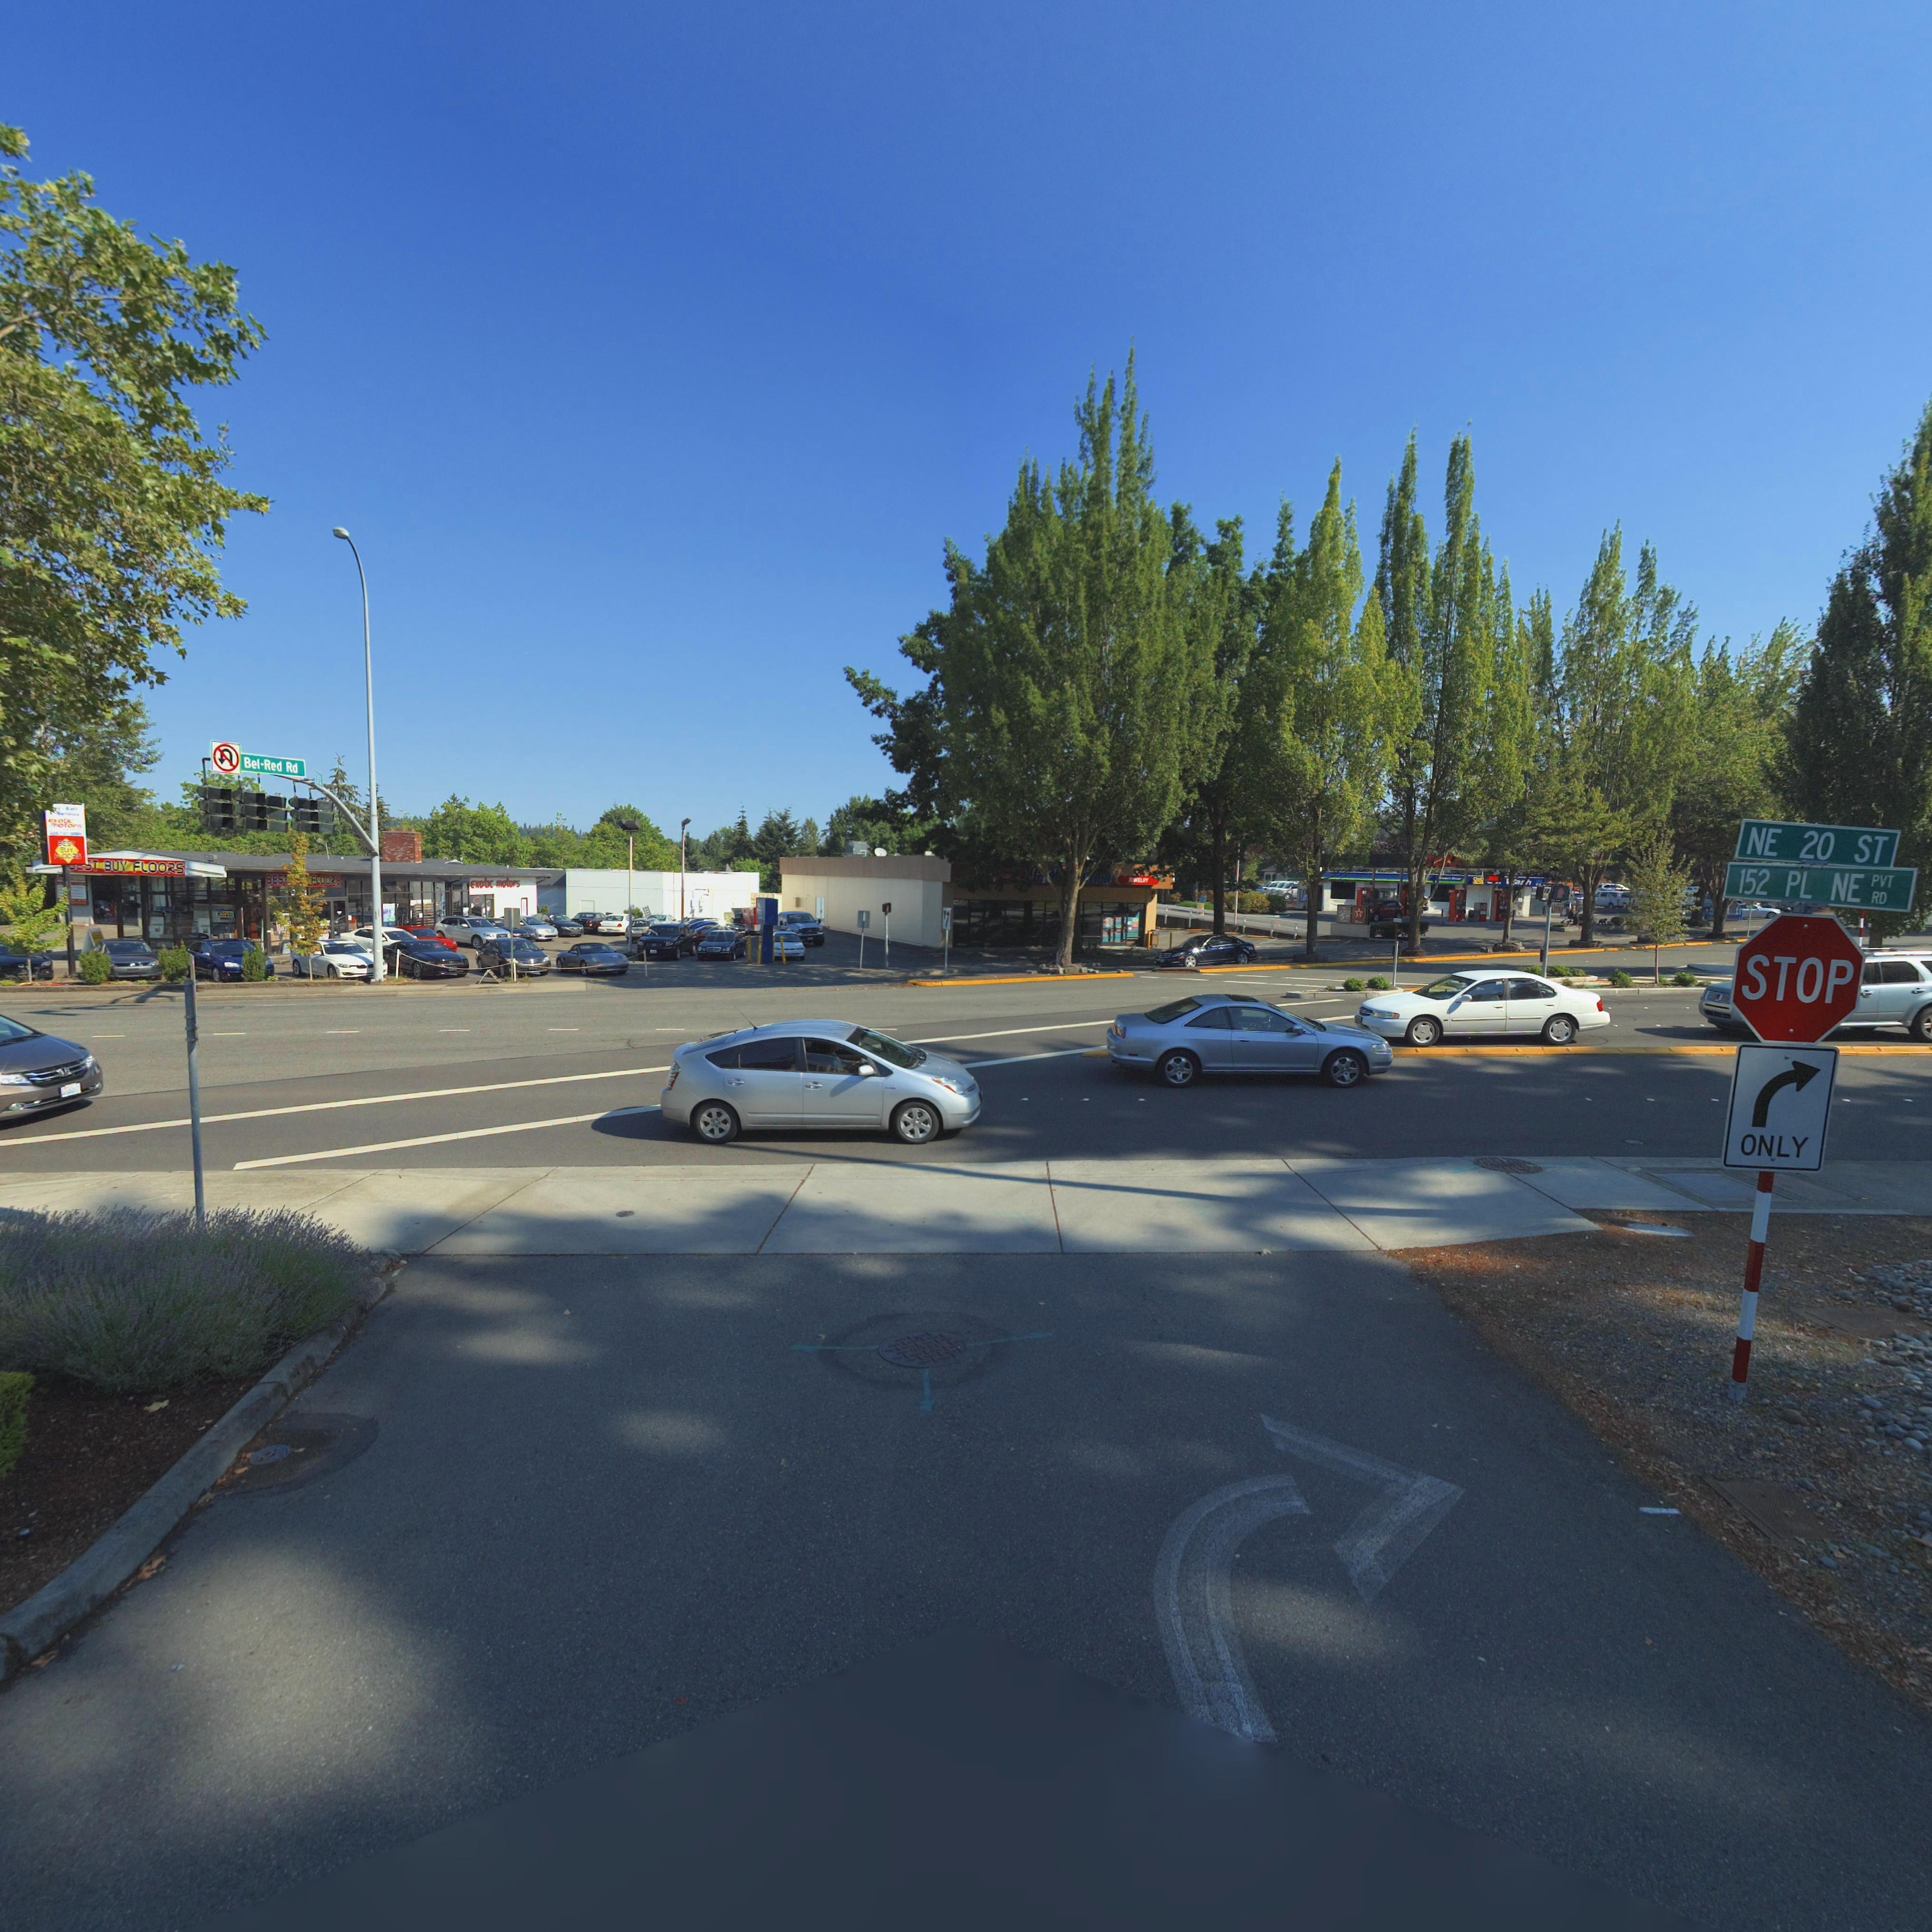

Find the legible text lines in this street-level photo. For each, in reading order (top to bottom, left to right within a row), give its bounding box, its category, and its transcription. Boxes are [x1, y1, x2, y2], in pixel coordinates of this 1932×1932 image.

[243, 756, 298, 773] StreetName: Bel-Red Rd
[1747, 827, 1888, 863] StreetName: NE 20 ST
[92, 860, 184, 873] BusinessName: T BUY FLOORS
[266, 874, 283, 884] BusinessName: BES
[311, 875, 340, 885] BusinessName: FLOORS
[471, 876, 521, 888] BusinessName: Exotic motors
[1737, 868, 1866, 903] StreetName: 152 PL NE